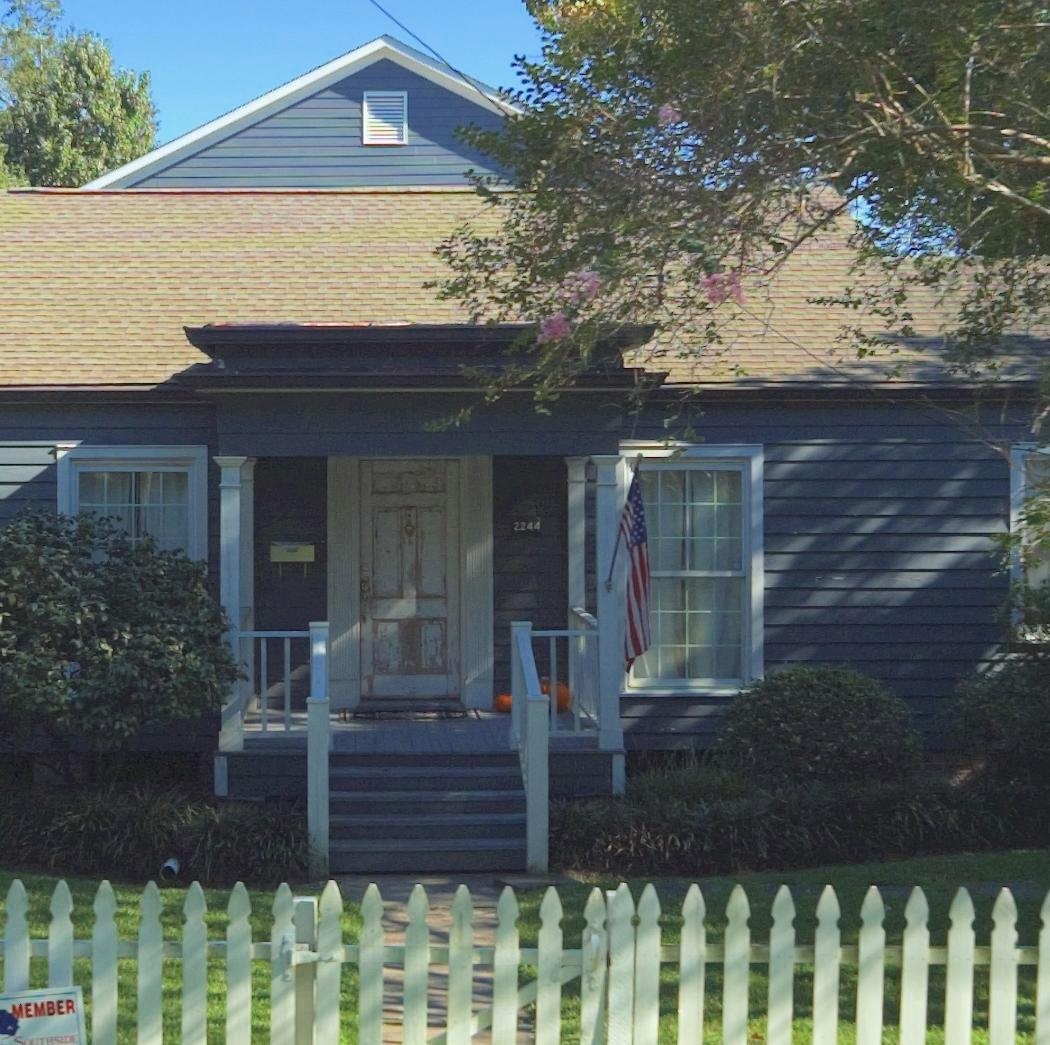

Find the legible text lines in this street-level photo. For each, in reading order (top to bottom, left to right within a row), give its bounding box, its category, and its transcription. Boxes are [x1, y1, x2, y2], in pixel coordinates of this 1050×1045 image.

[511, 520, 543, 533] StreetNumber: 2244